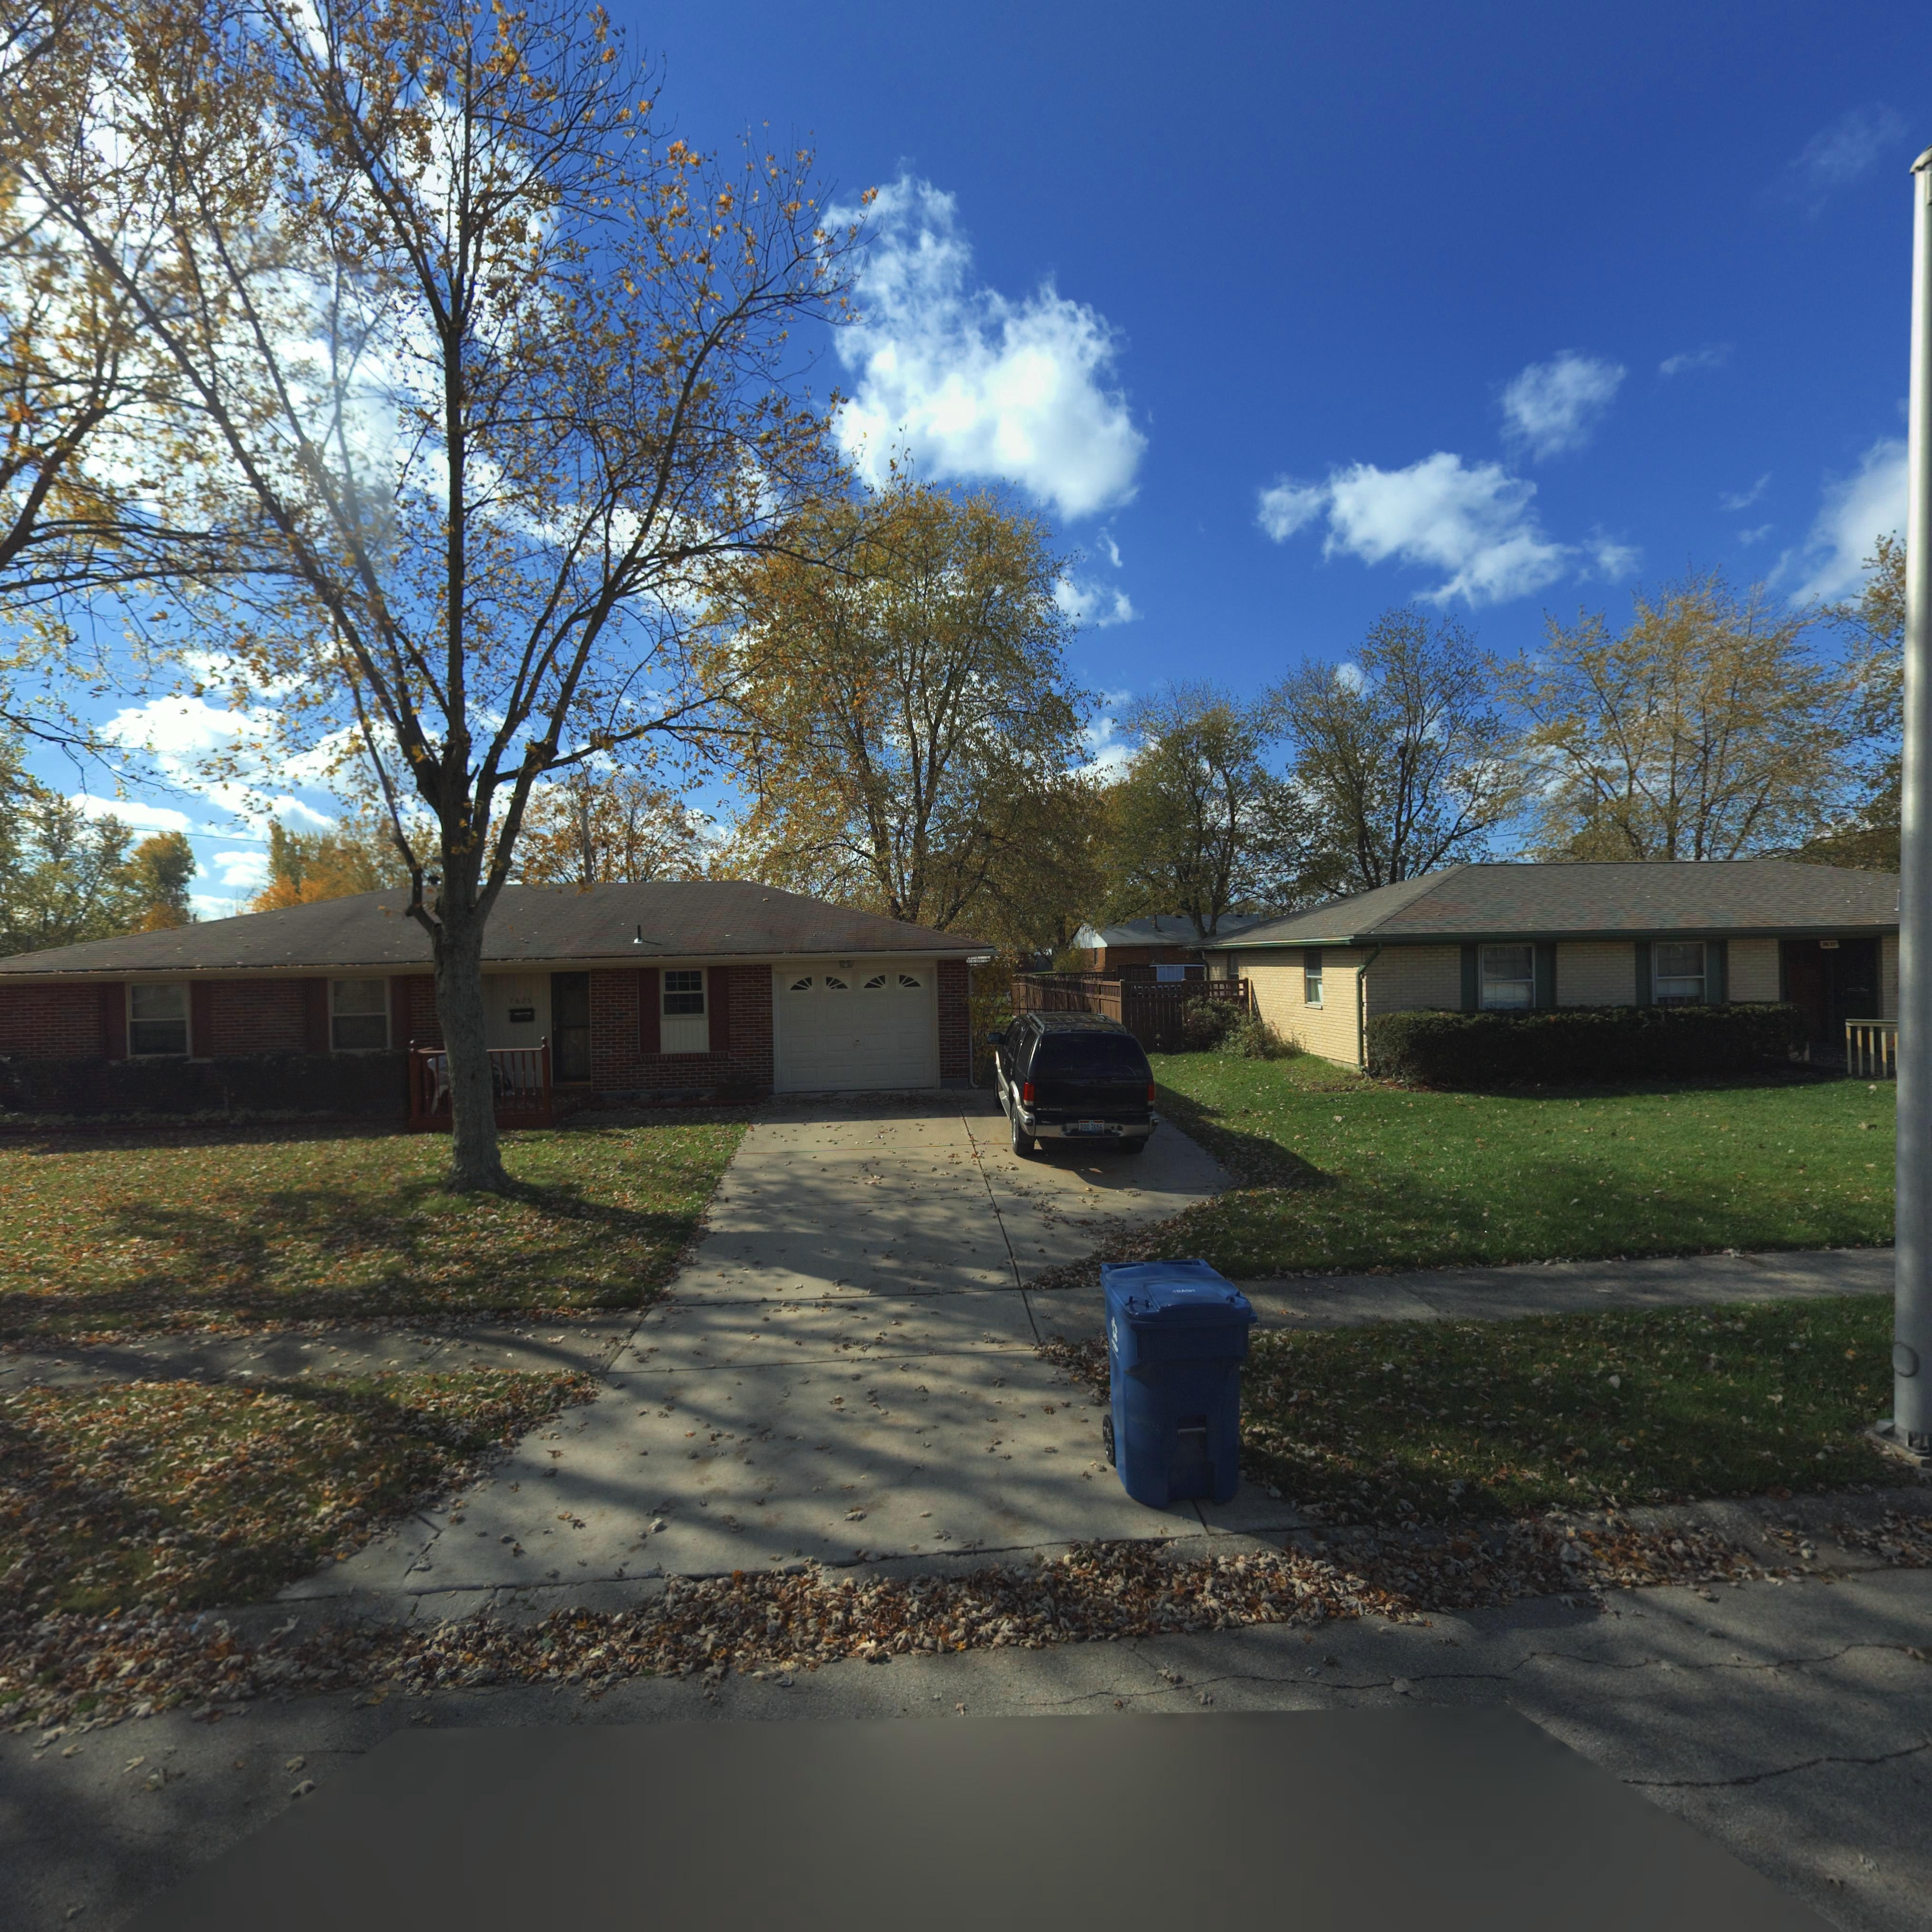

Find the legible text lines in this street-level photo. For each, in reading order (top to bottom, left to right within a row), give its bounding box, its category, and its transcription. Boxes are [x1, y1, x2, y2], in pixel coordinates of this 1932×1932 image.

[508, 996, 532, 1005] StreetNumber: 7625